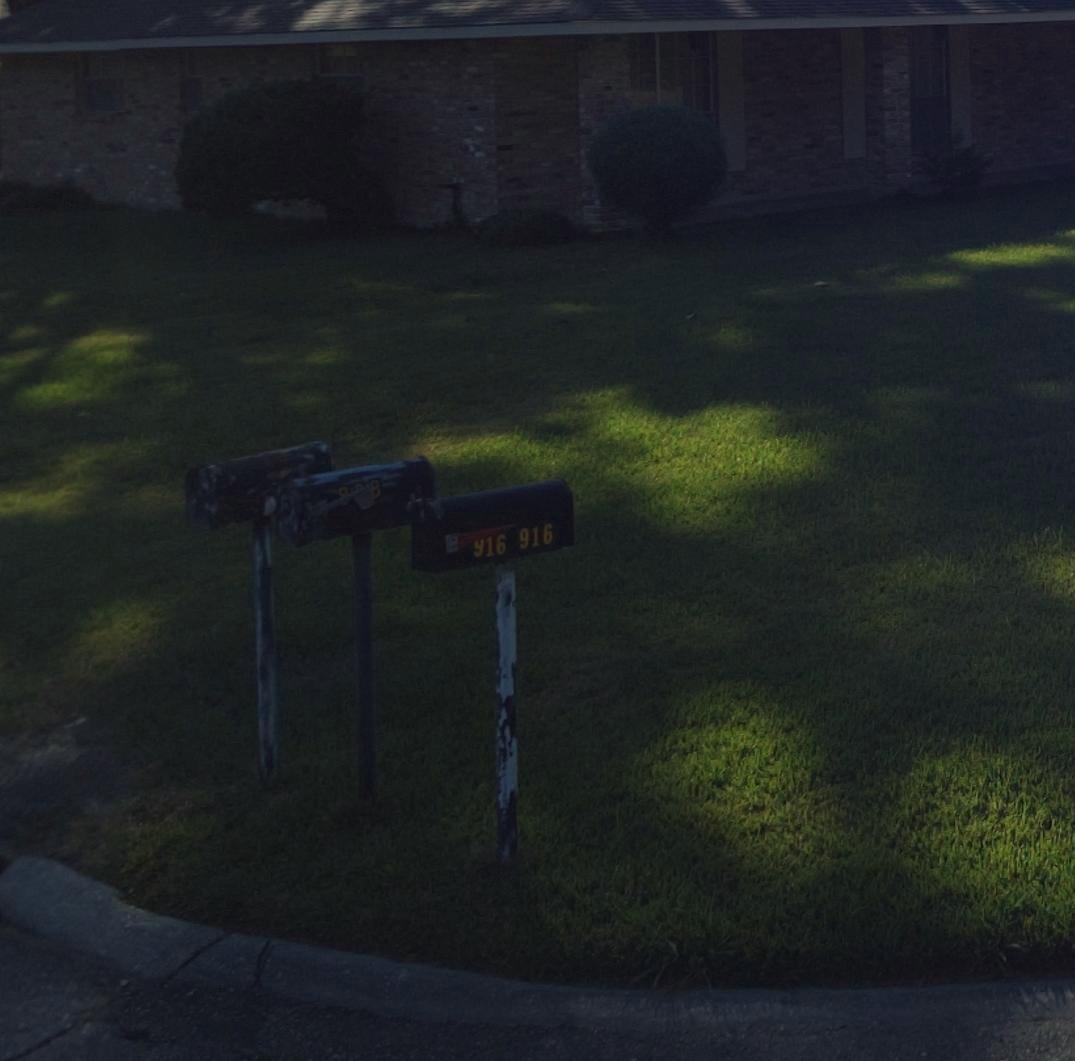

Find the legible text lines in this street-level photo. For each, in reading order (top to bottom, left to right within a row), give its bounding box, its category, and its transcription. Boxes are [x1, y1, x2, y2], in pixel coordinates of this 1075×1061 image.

[471, 533, 508, 559] StreetNumber: 916
[518, 521, 554, 551] StreetNumber: 916